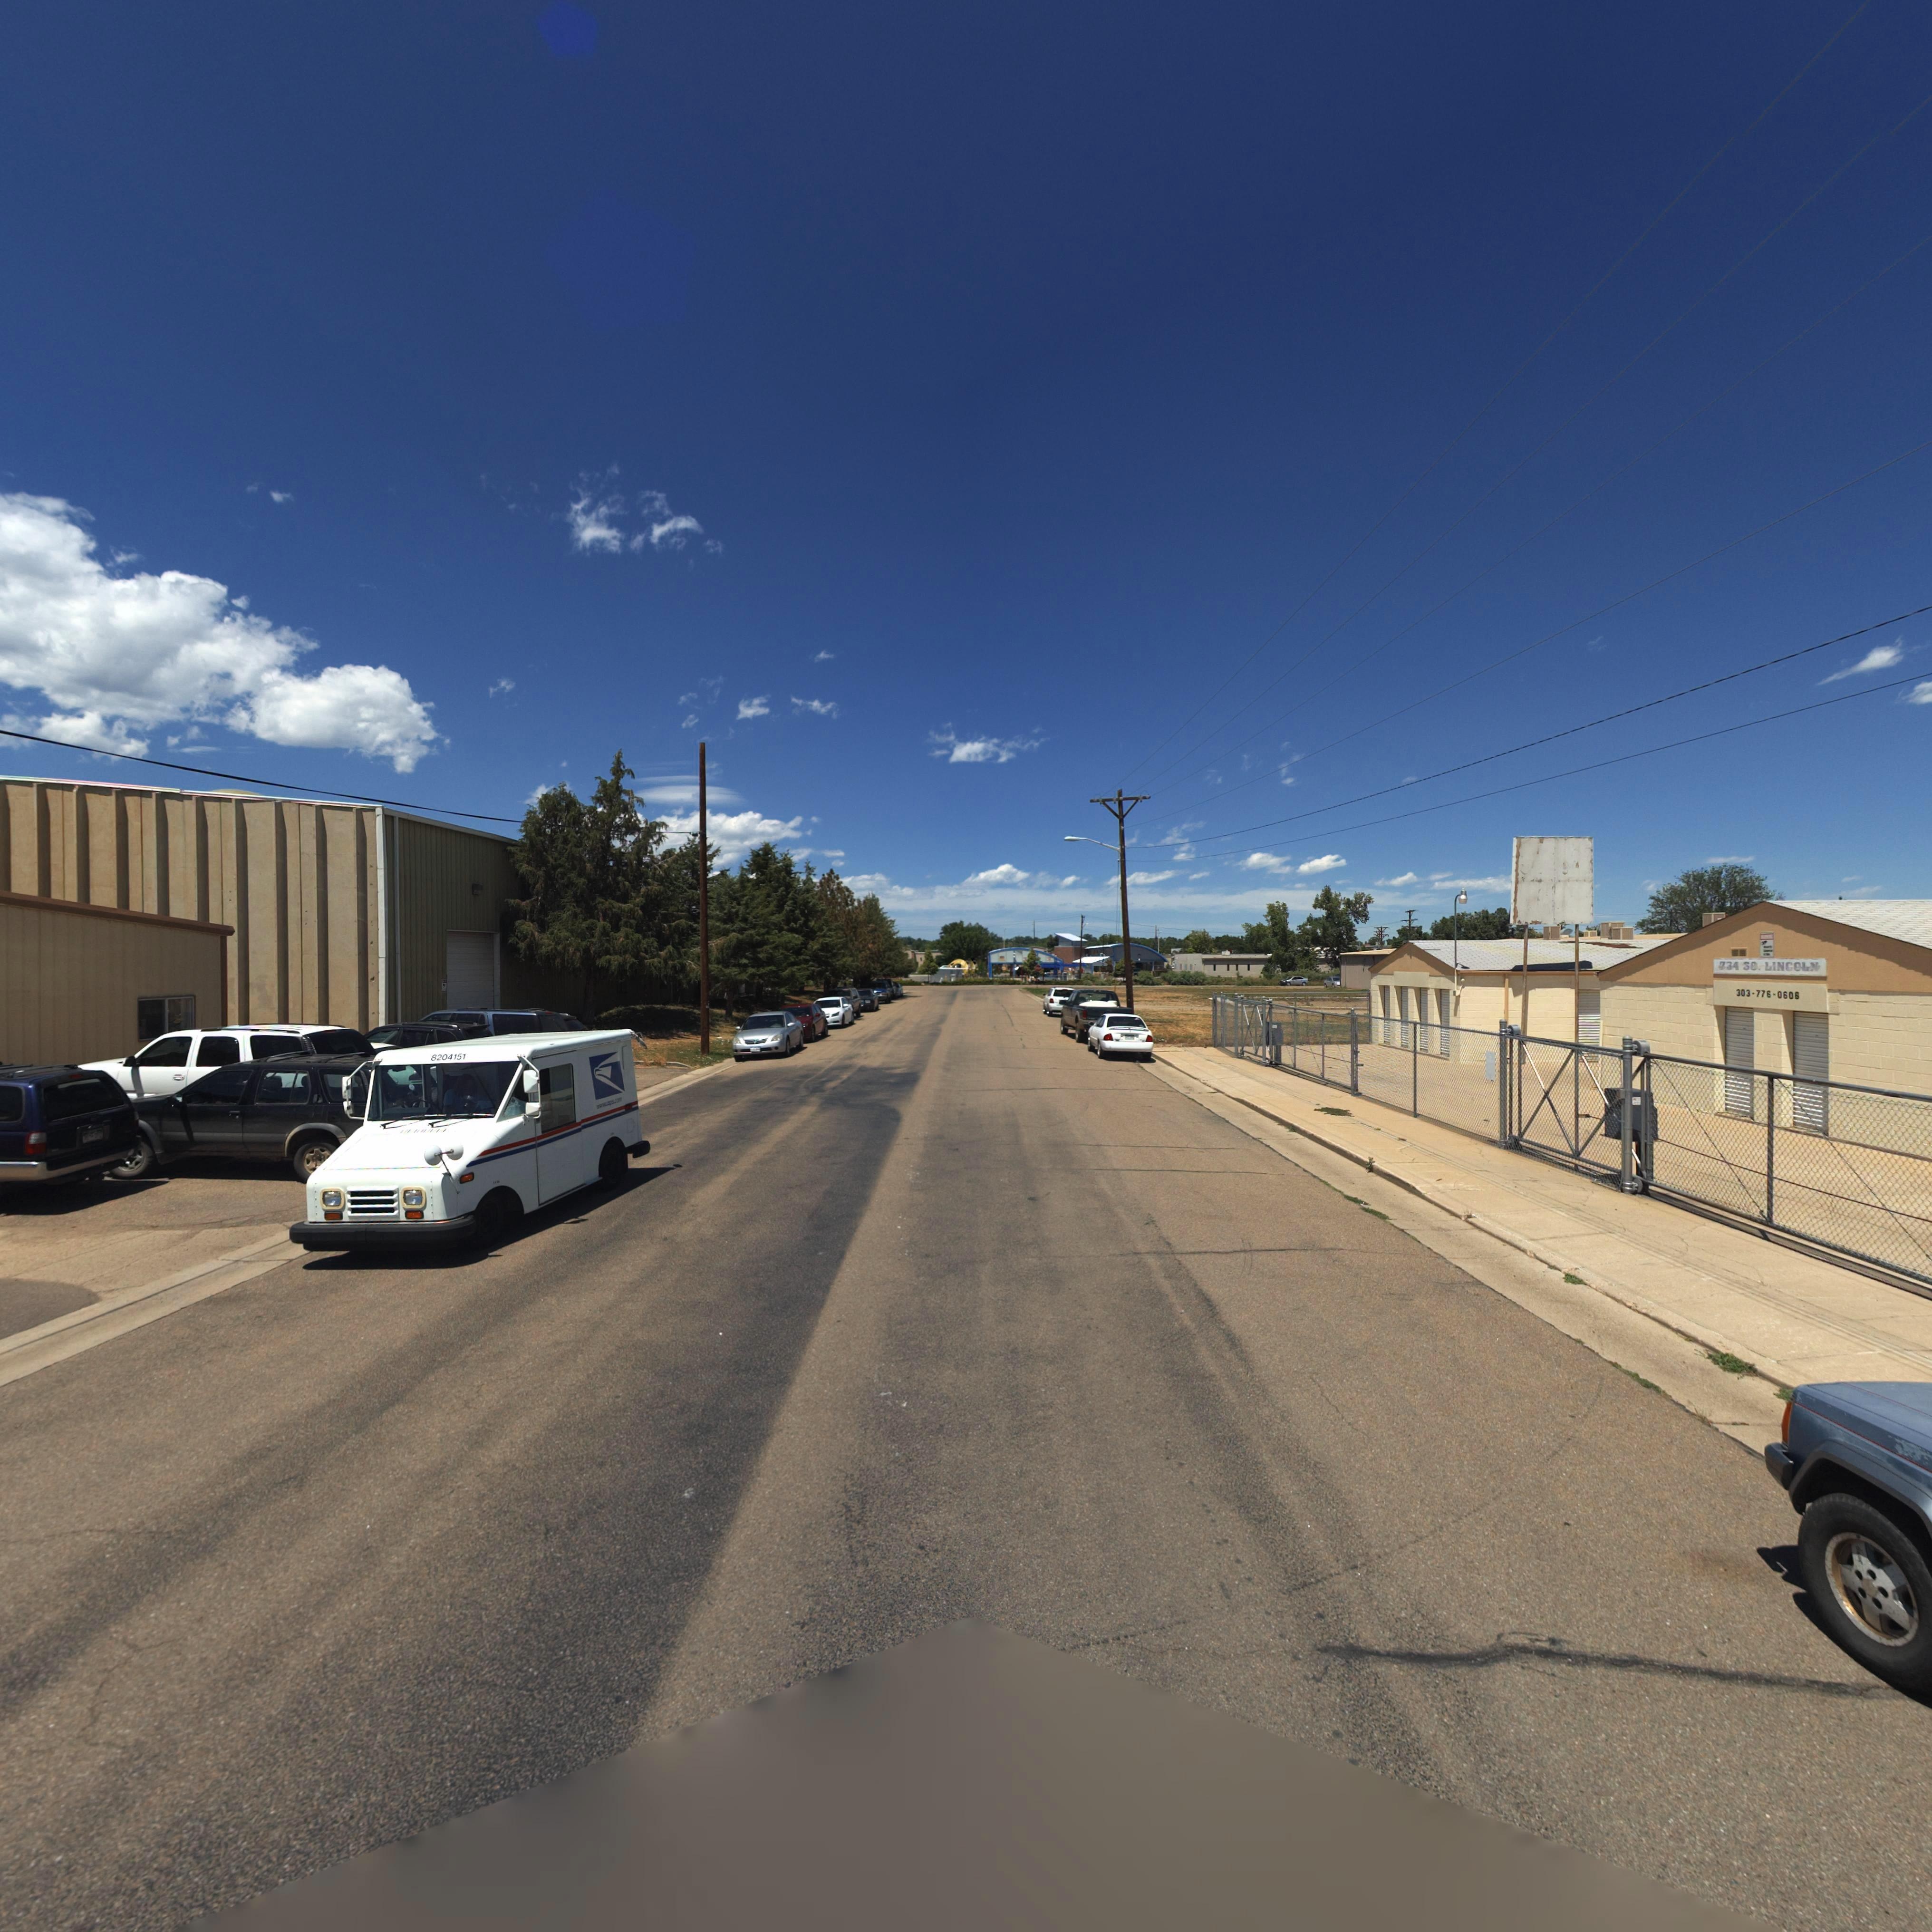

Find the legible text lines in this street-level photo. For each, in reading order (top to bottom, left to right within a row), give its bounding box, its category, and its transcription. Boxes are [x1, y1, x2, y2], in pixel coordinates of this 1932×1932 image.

[1719, 961, 1739, 970] StreetNumber: 734
[1742, 960, 1818, 972] StreetName: SO. LINCOLN